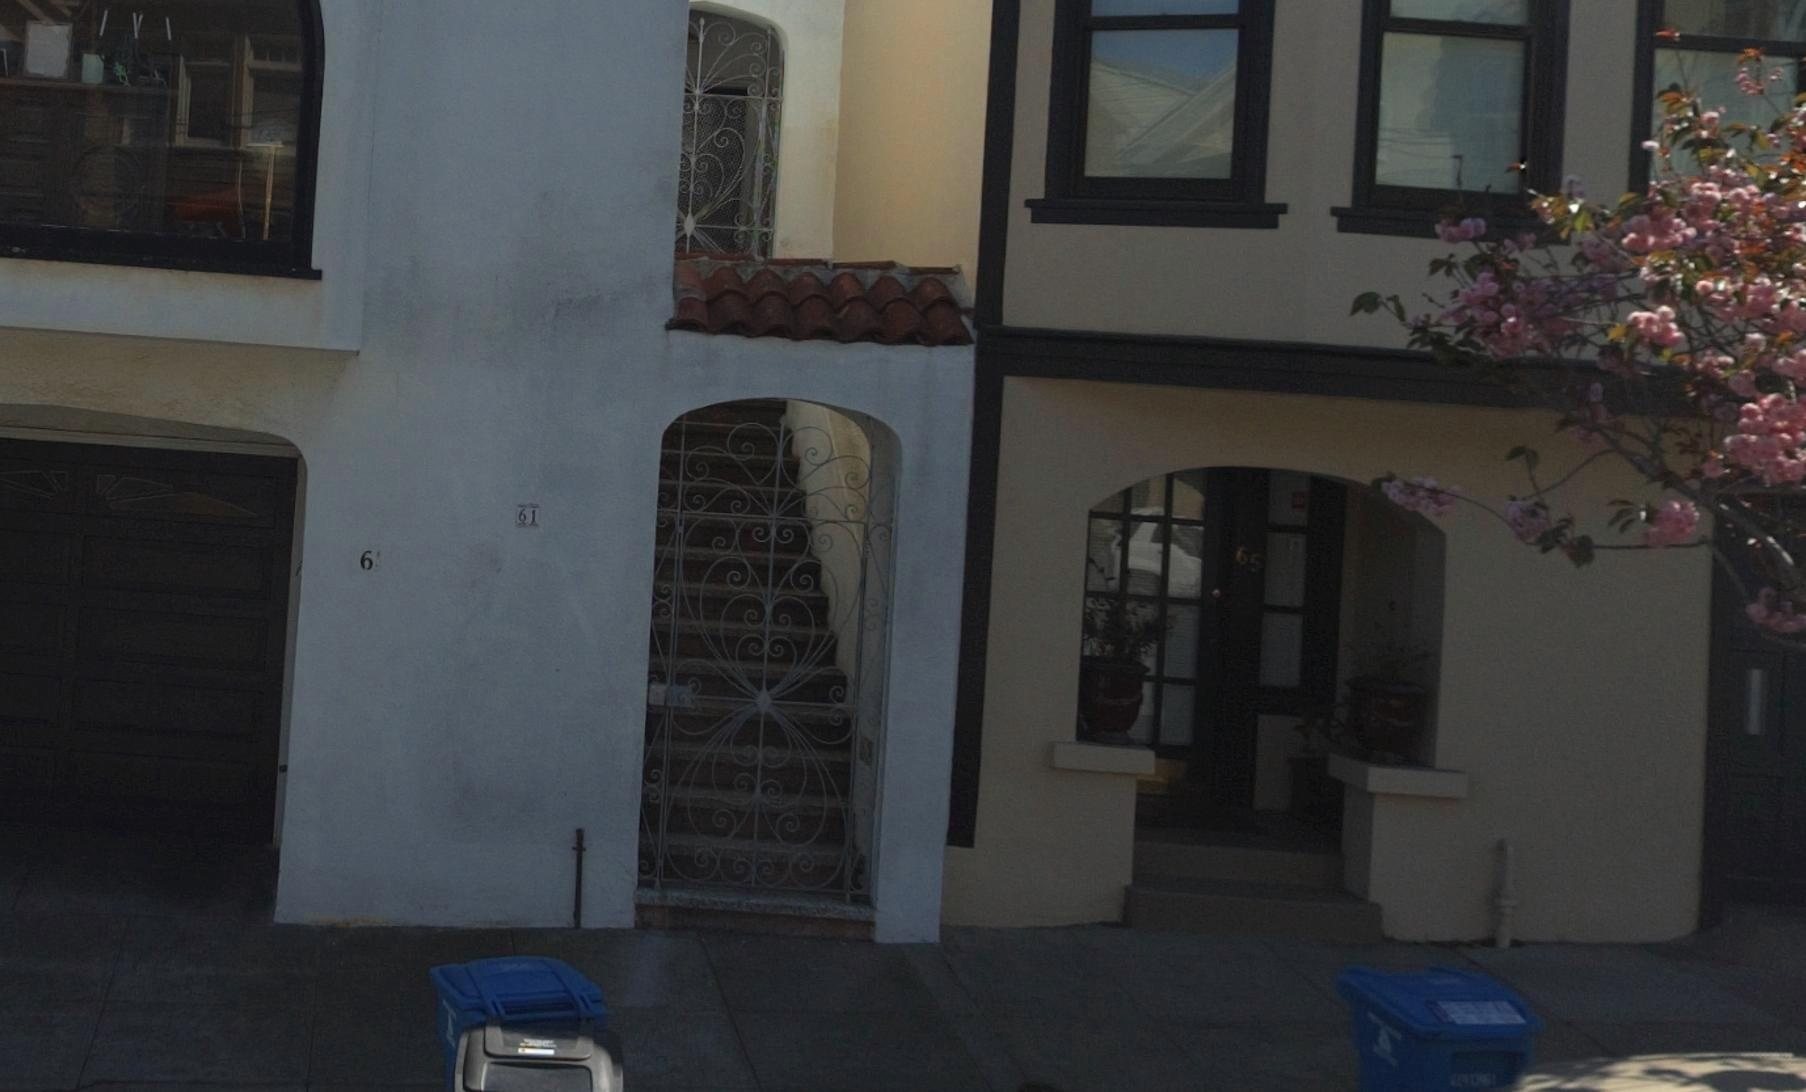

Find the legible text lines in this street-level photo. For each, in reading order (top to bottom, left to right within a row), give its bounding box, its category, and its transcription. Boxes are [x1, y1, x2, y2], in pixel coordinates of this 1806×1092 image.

[518, 507, 537, 524] StreetNumber: 61
[360, 550, 373, 571] StreetNumber: 6
[1235, 545, 1262, 593] StreetNumber: 65